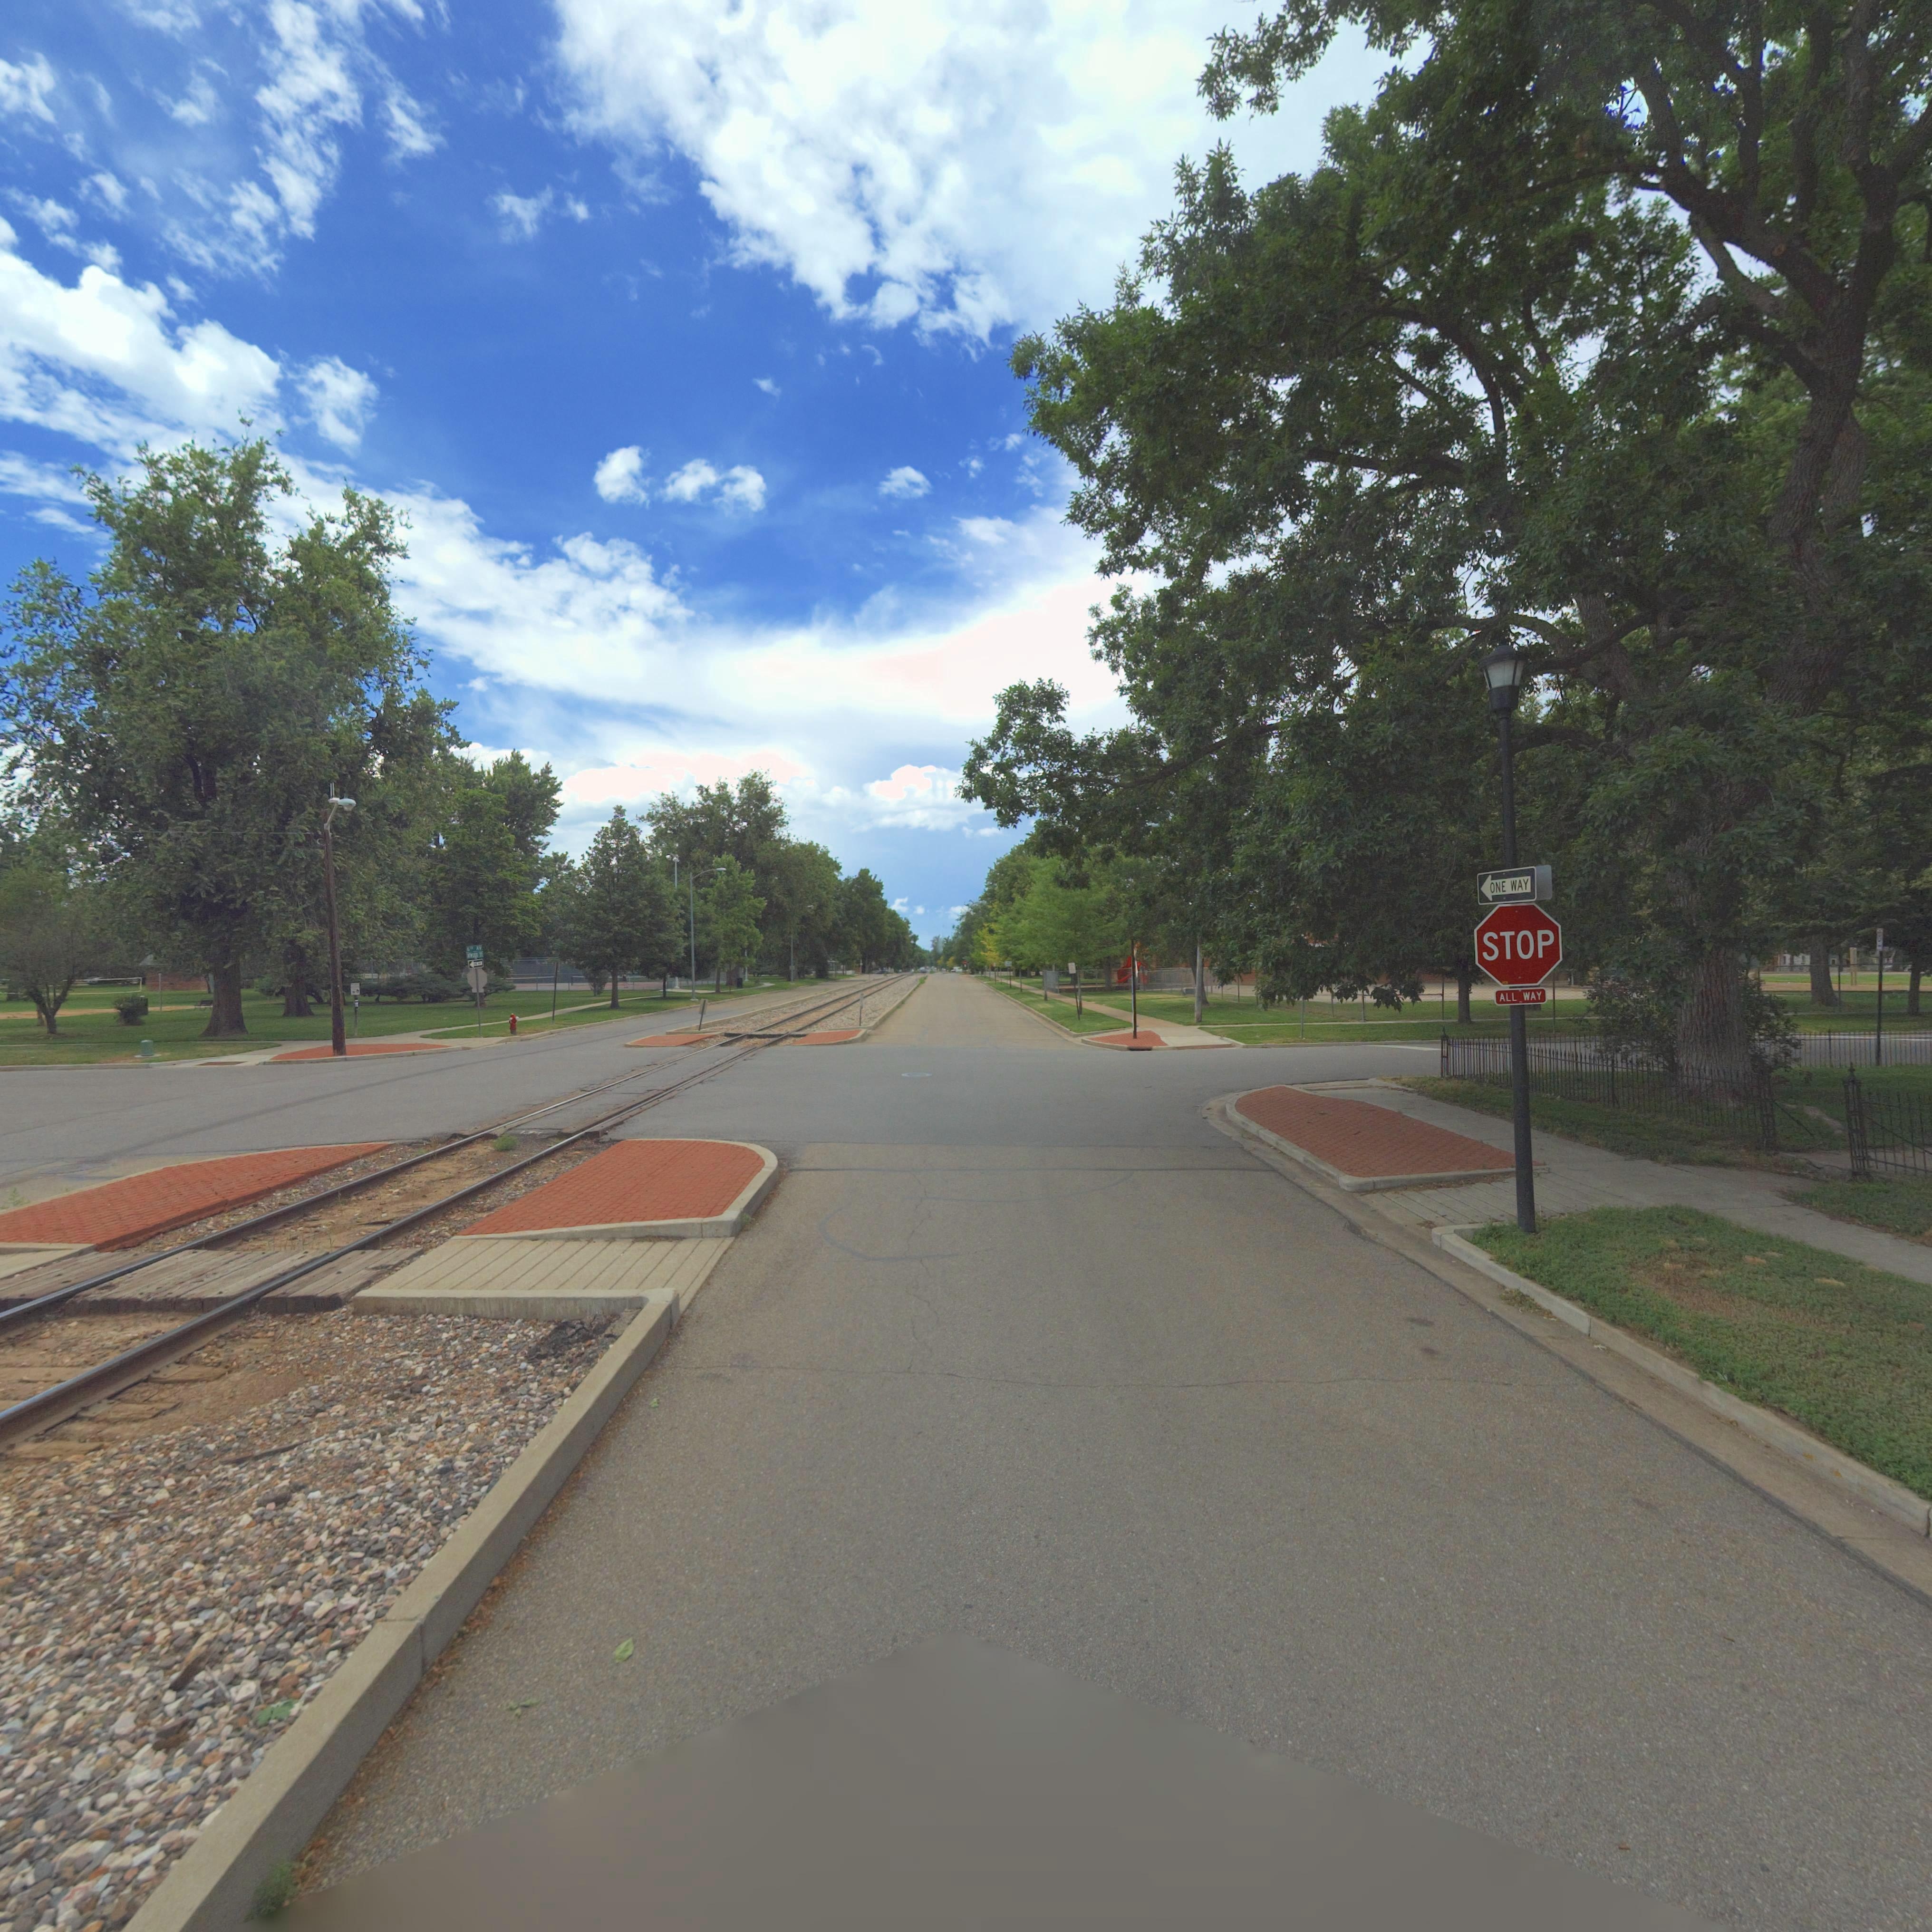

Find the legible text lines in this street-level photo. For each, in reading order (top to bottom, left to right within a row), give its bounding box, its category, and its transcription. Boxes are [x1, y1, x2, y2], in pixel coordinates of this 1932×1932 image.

[466, 945, 482, 951] StreetName: 6TH AV
[467, 952, 483, 958] StreetName: ATWOOD ST